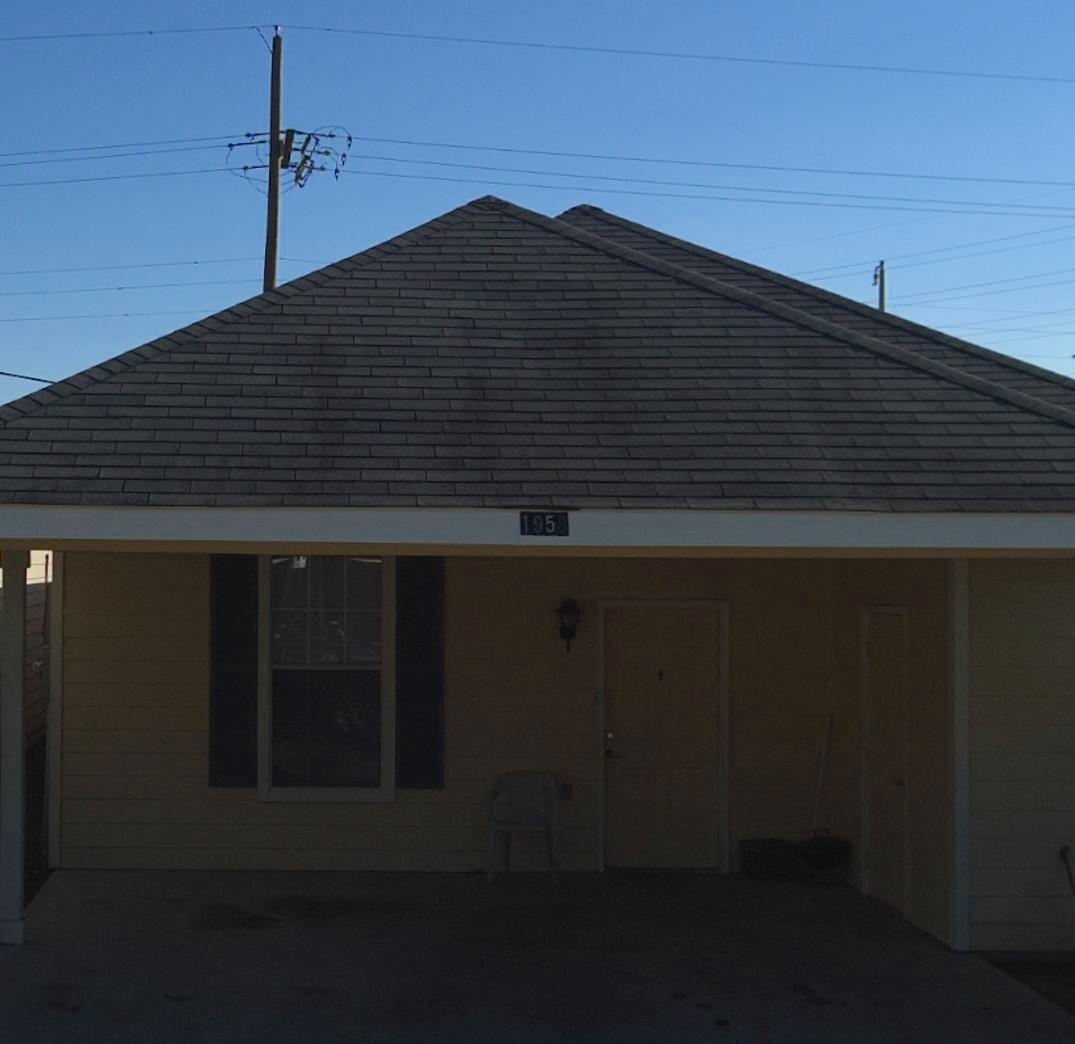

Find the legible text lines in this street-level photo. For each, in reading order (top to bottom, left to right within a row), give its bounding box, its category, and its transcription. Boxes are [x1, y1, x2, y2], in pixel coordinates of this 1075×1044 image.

[521, 513, 568, 535] StreetNumber: 1958